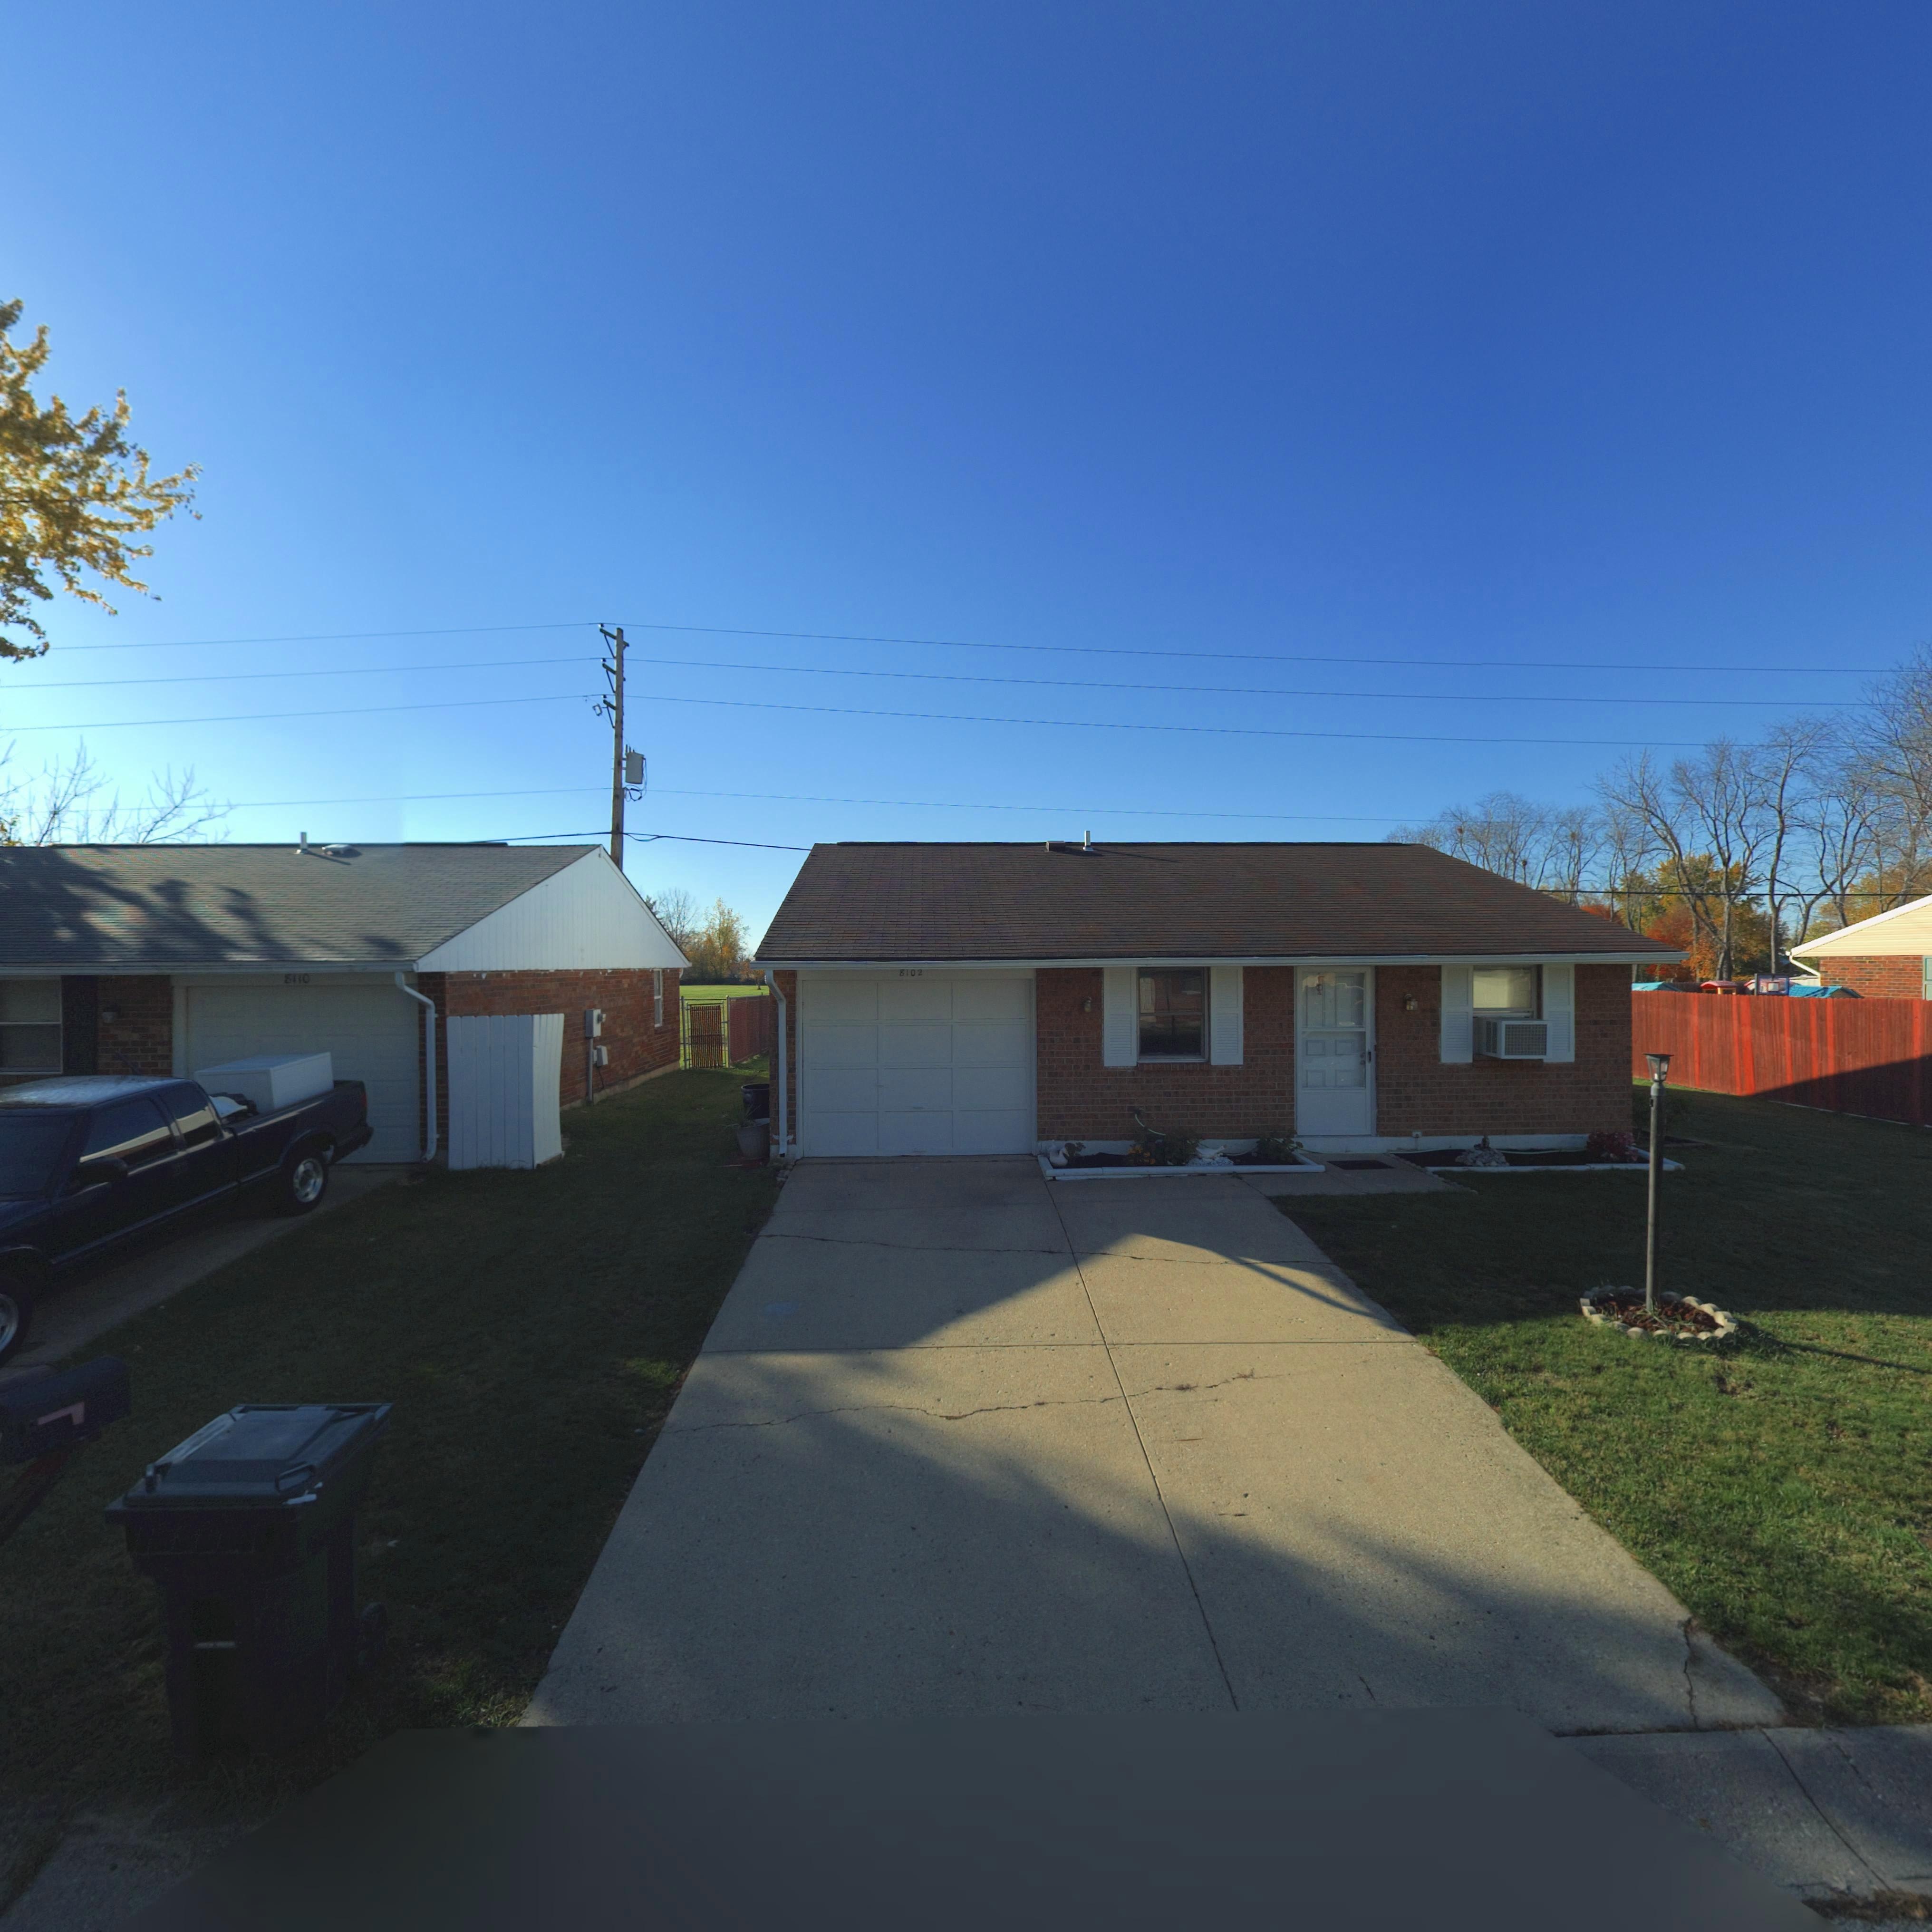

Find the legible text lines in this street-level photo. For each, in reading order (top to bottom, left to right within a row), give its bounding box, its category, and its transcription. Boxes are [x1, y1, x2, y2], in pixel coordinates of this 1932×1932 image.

[283, 972, 311, 986] StreetNumber: 8110
[898, 968, 924, 978] StreetNumber: 8102